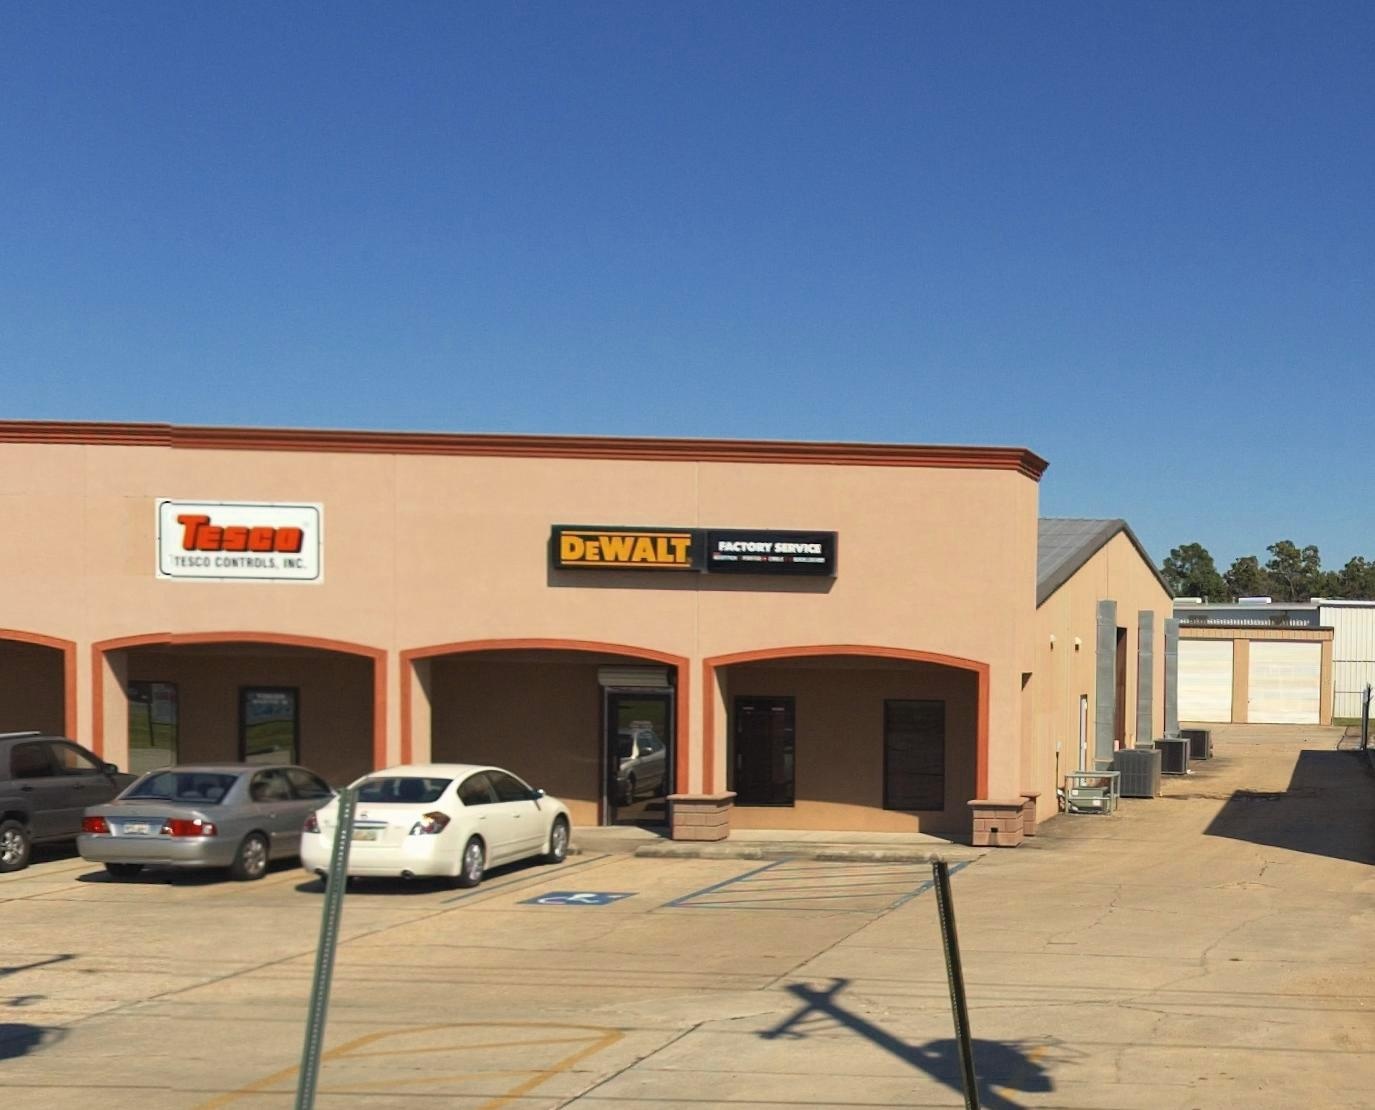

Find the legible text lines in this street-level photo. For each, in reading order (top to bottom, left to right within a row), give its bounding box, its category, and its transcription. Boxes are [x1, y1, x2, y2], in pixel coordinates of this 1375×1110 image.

[175, 511, 304, 555] BusinessName: TESCO
[179, 554, 310, 573] BusinessName: *SCO CONTROLS, INC.
[558, 533, 694, 565] BusinessName: DEWALT
[715, 537, 825, 557] None: FACTORY SERVICE